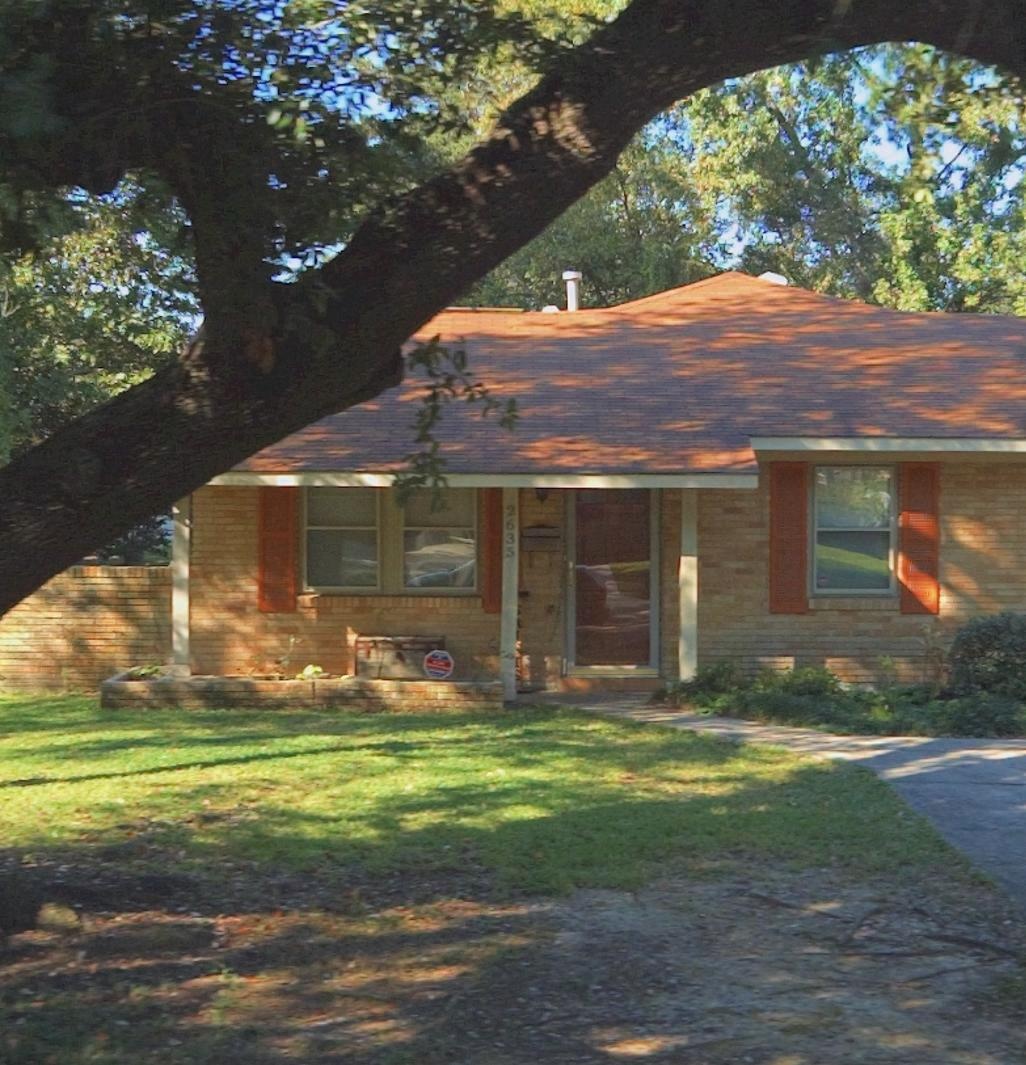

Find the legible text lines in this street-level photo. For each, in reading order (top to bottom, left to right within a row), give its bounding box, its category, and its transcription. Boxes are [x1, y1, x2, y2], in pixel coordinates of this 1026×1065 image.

[504, 503, 517, 560] StreetNumber: 2635